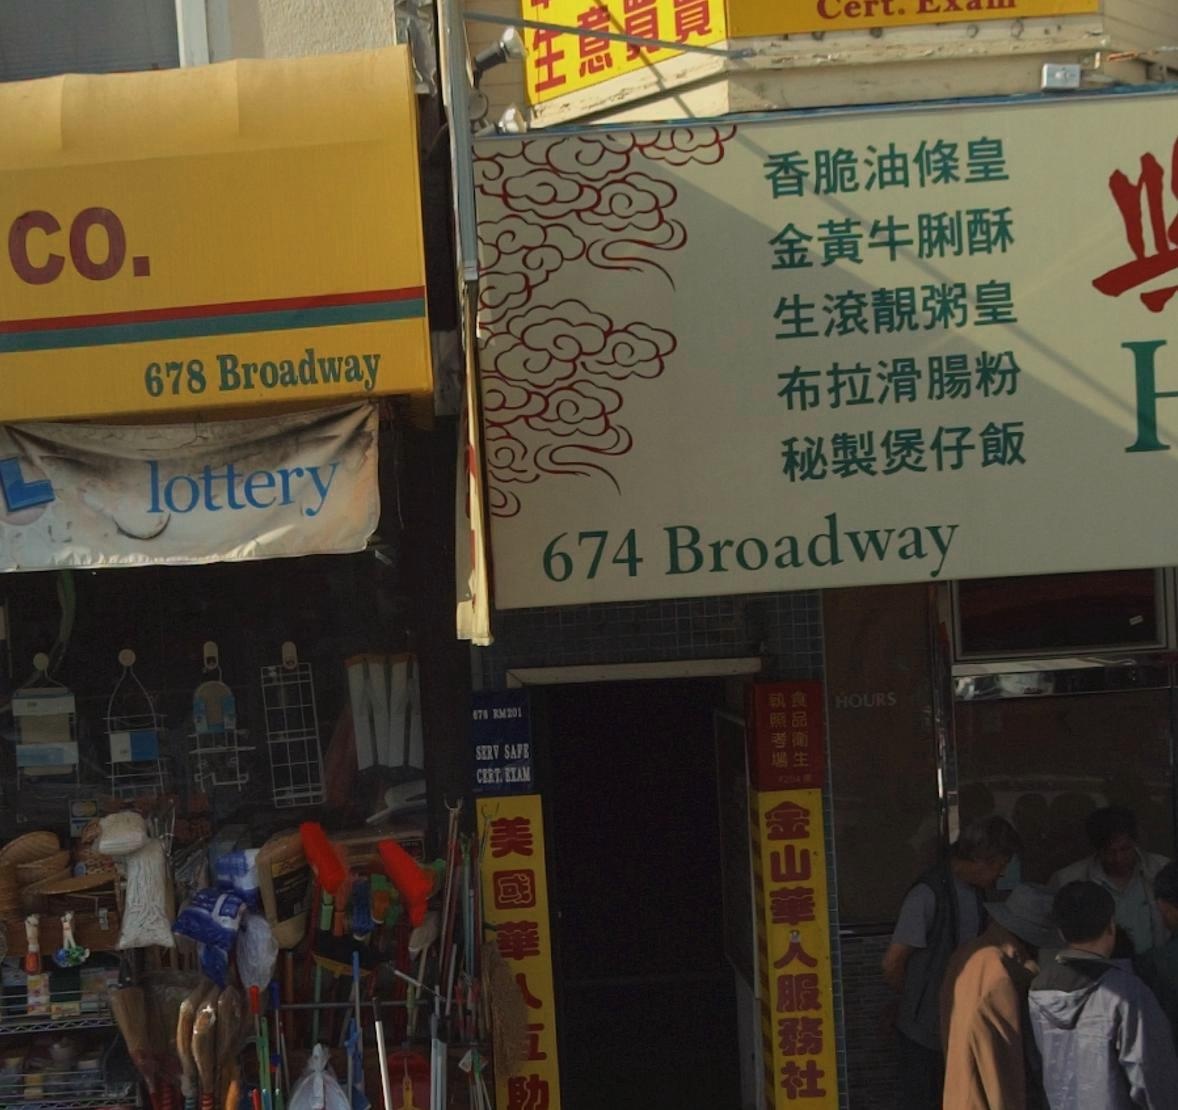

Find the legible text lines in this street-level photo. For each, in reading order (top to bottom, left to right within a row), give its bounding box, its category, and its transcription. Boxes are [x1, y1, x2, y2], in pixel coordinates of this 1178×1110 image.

[843, 0, 863, 19] None: e
[3, 204, 152, 287] None: co.
[142, 355, 209, 399] StreetNumber: 678
[214, 346, 381, 393] StreetName: Broadway
[141, 458, 343, 518] None: lottery
[540, 525, 644, 585] StreetNumber: 674
[661, 510, 961, 579] StreetName: Broadway
[833, 689, 899, 711] None: HOURS
[470, 706, 489, 722] StreetNumber: 678
[491, 706, 523, 721] SecondaryUnitDesignator: RM201
[475, 740, 531, 763] None: SERV SAFE
[475, 764, 531, 785] None: CERT. EXAM
[777, 773, 801, 786] None: #20*